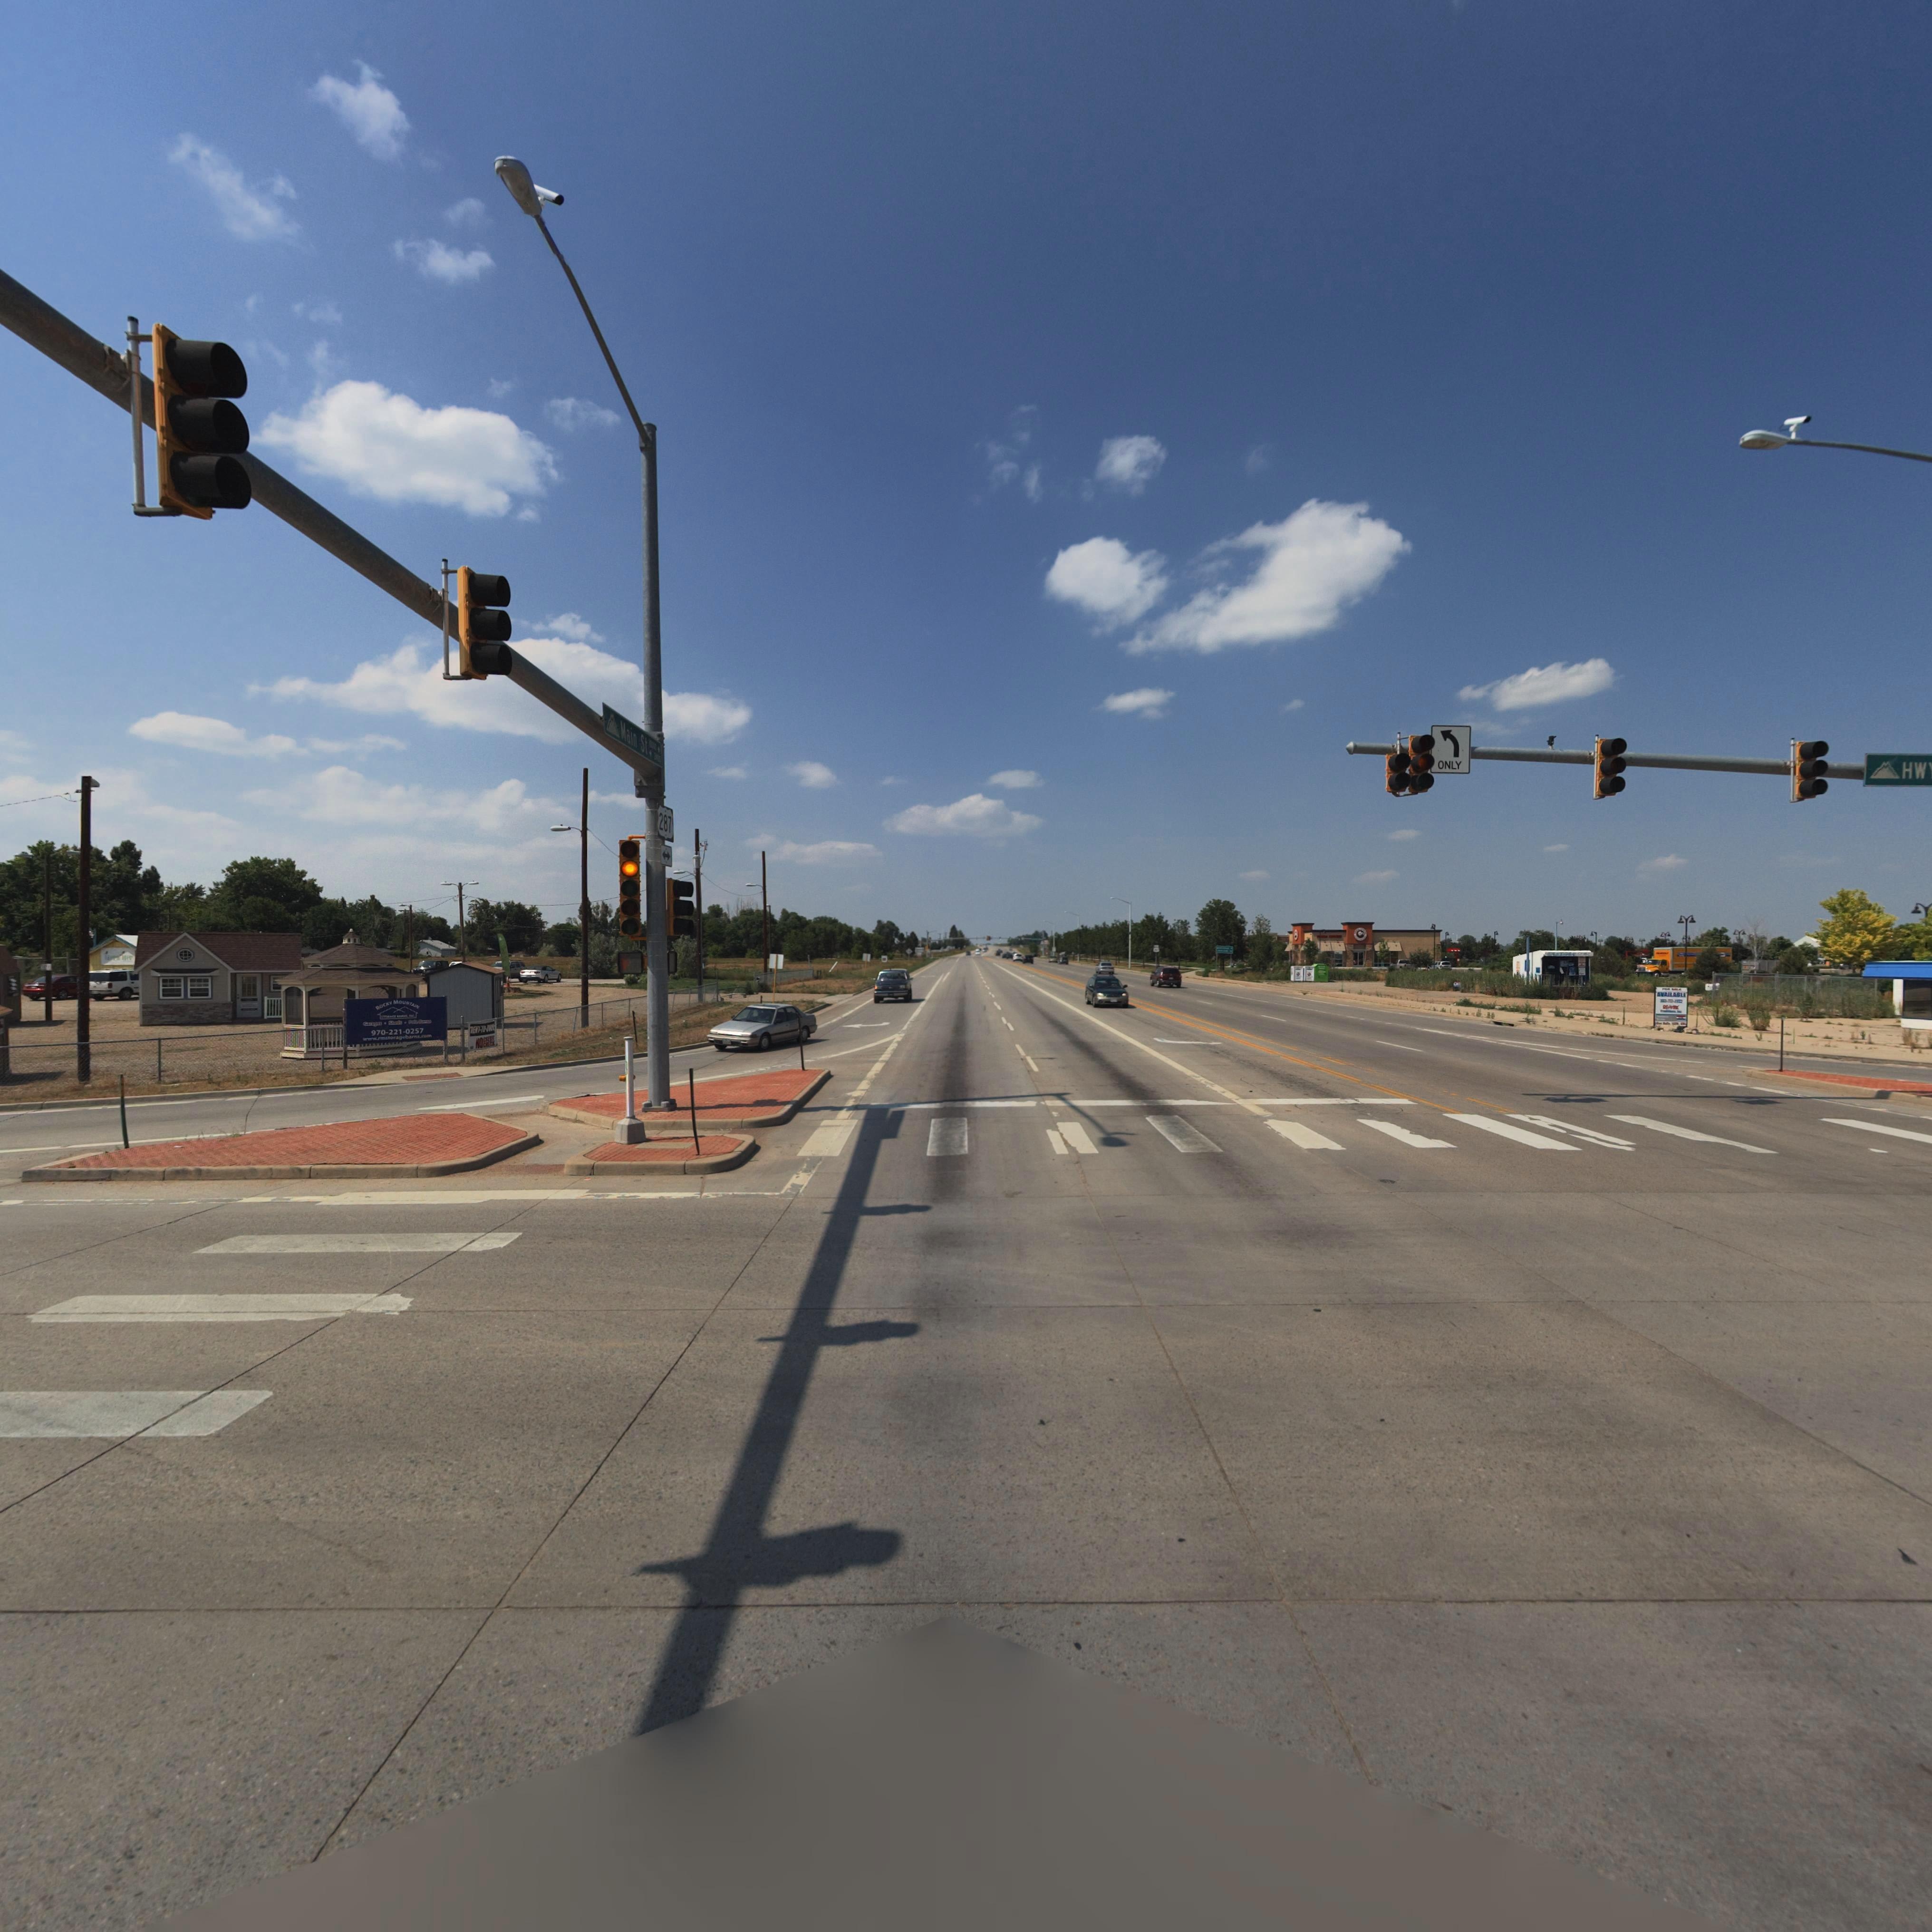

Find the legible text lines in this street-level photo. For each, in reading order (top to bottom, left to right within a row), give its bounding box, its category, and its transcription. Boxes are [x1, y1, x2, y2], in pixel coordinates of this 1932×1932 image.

[619, 719, 648, 756] StreetName: Main St
[648, 738, 657, 751] StreetNumberRange: 10000
[648, 749, 661, 763] StreetNumberRange: <-2400
[1902, 761, 1928, 779] StreetName: HW
[375, 999, 420, 1010] BusinessName: ROCKY MOUNTAIN
[381, 1014, 415, 1018] BusinessName: STORAGE *****, INC.